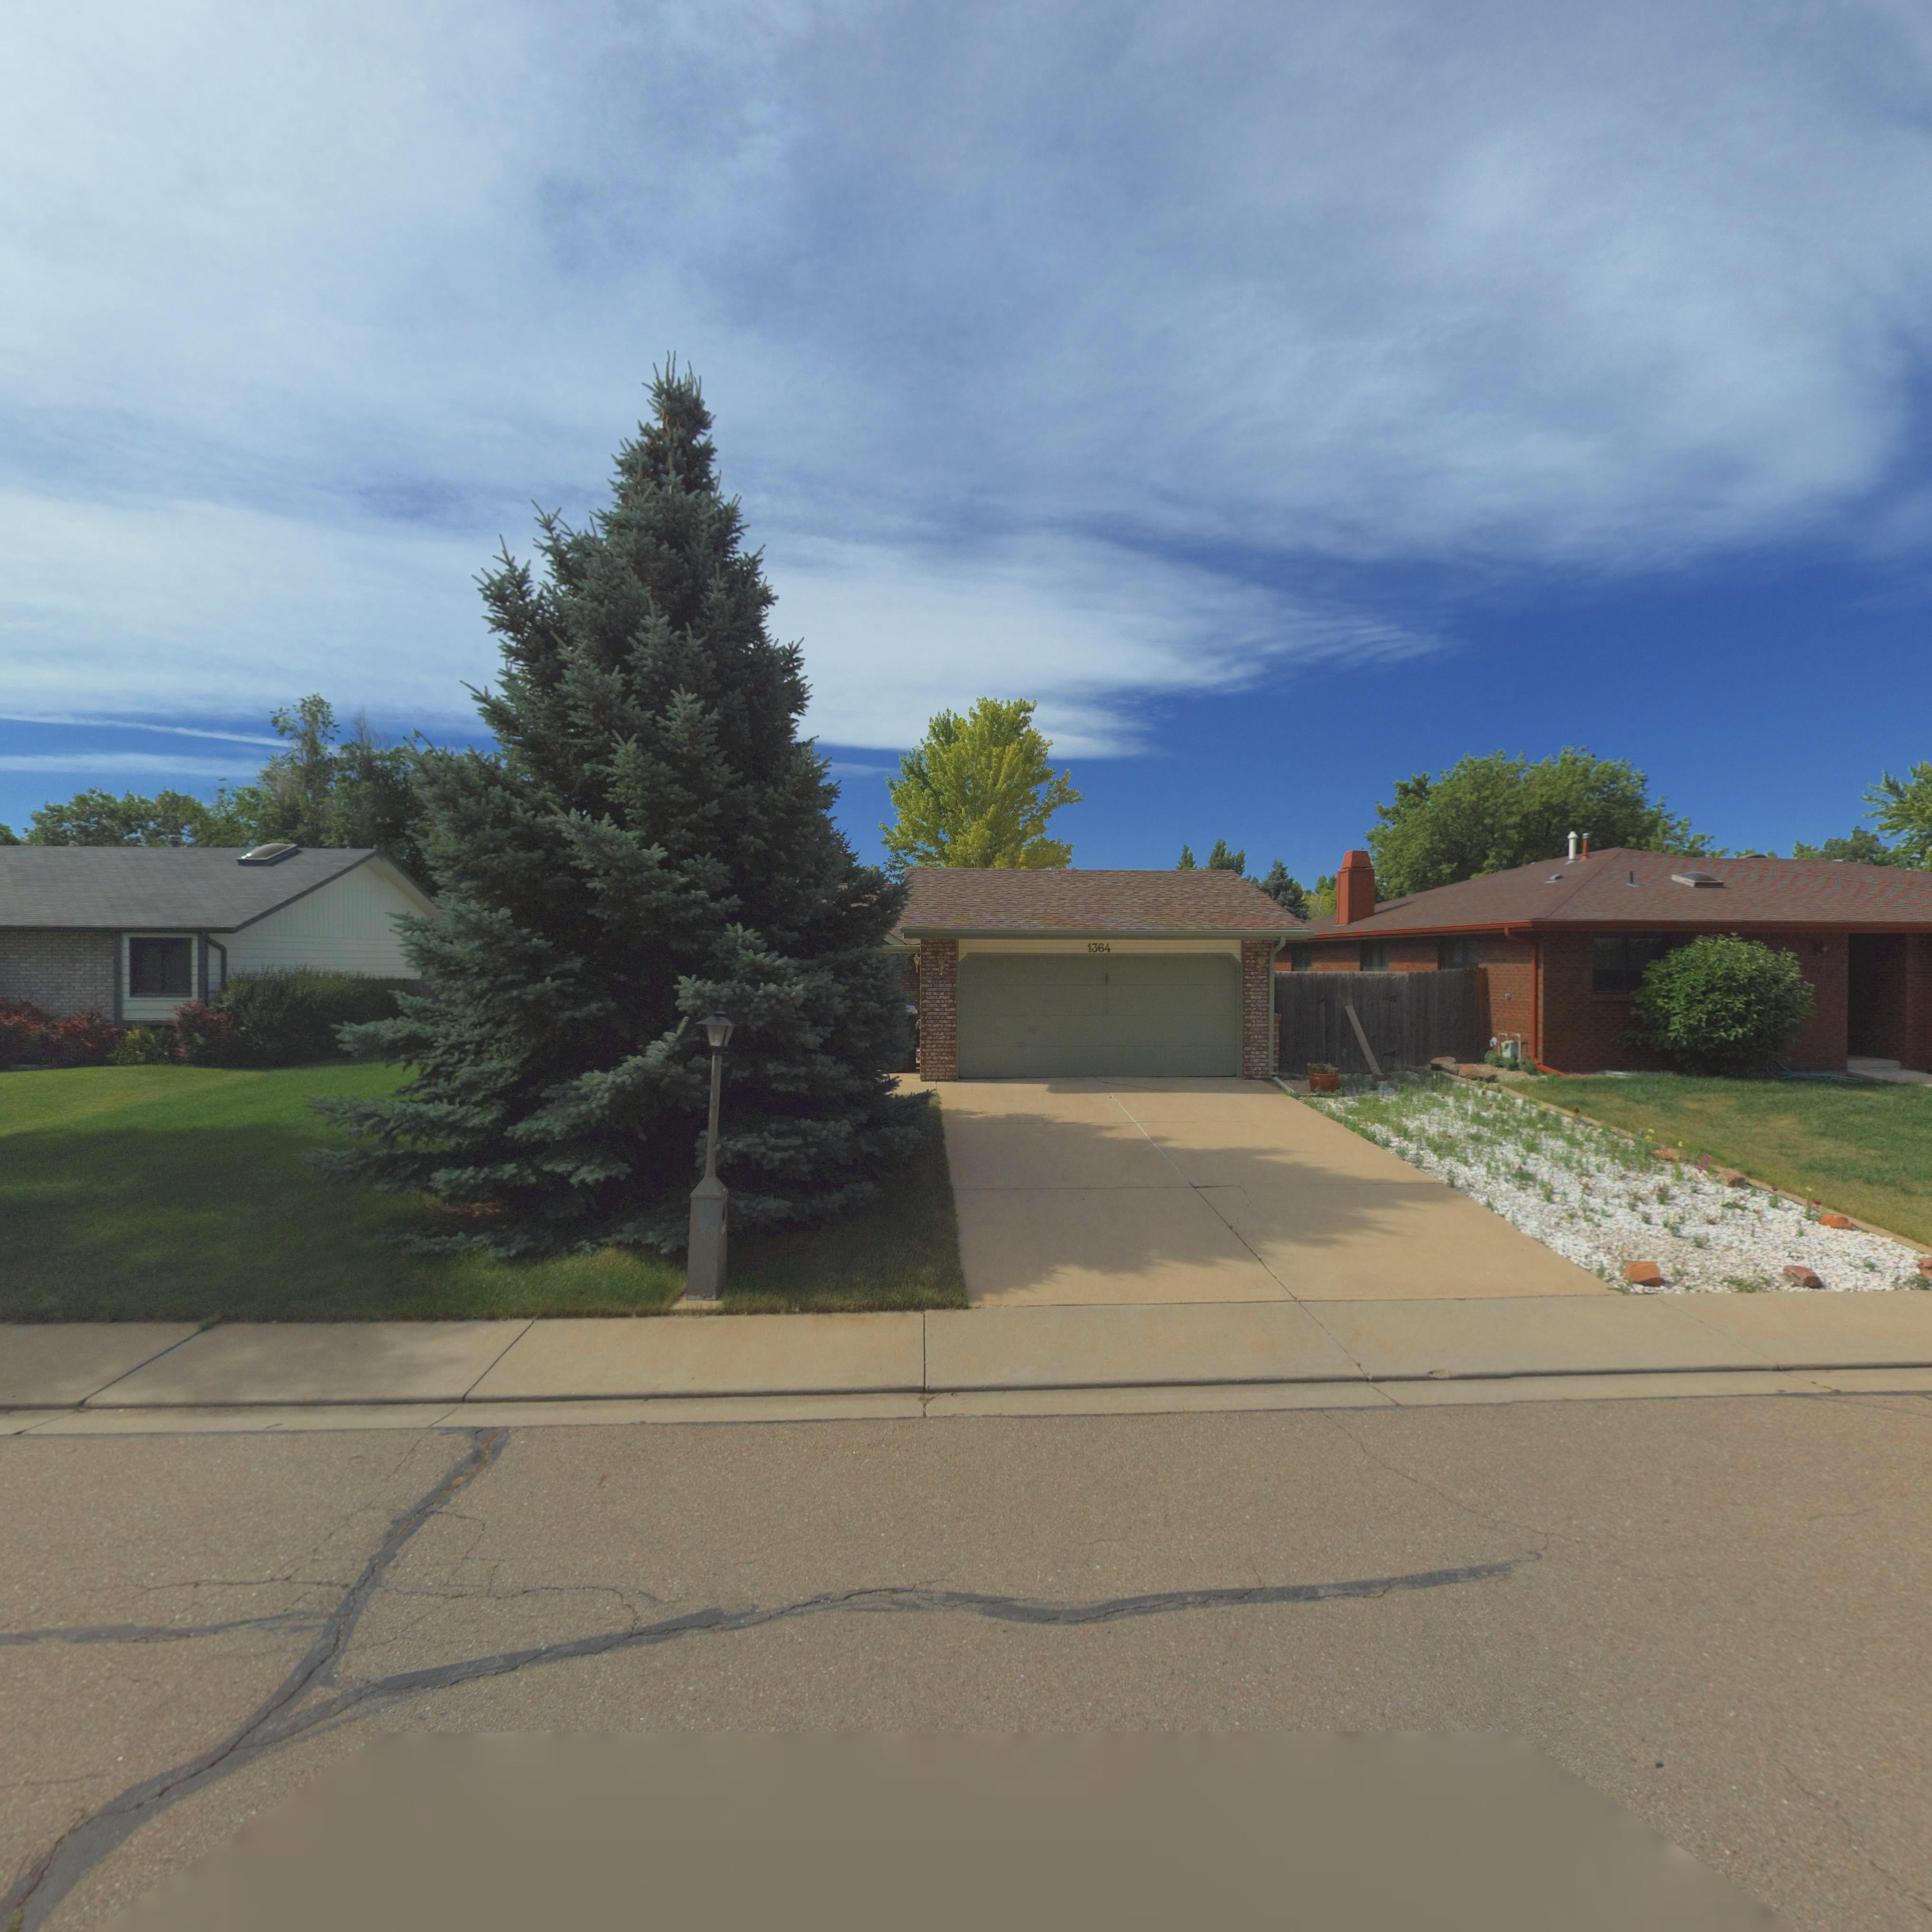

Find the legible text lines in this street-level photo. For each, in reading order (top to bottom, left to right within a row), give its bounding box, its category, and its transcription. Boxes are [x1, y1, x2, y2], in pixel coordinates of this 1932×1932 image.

[1087, 942, 1111, 953] StreetNumber: 1364